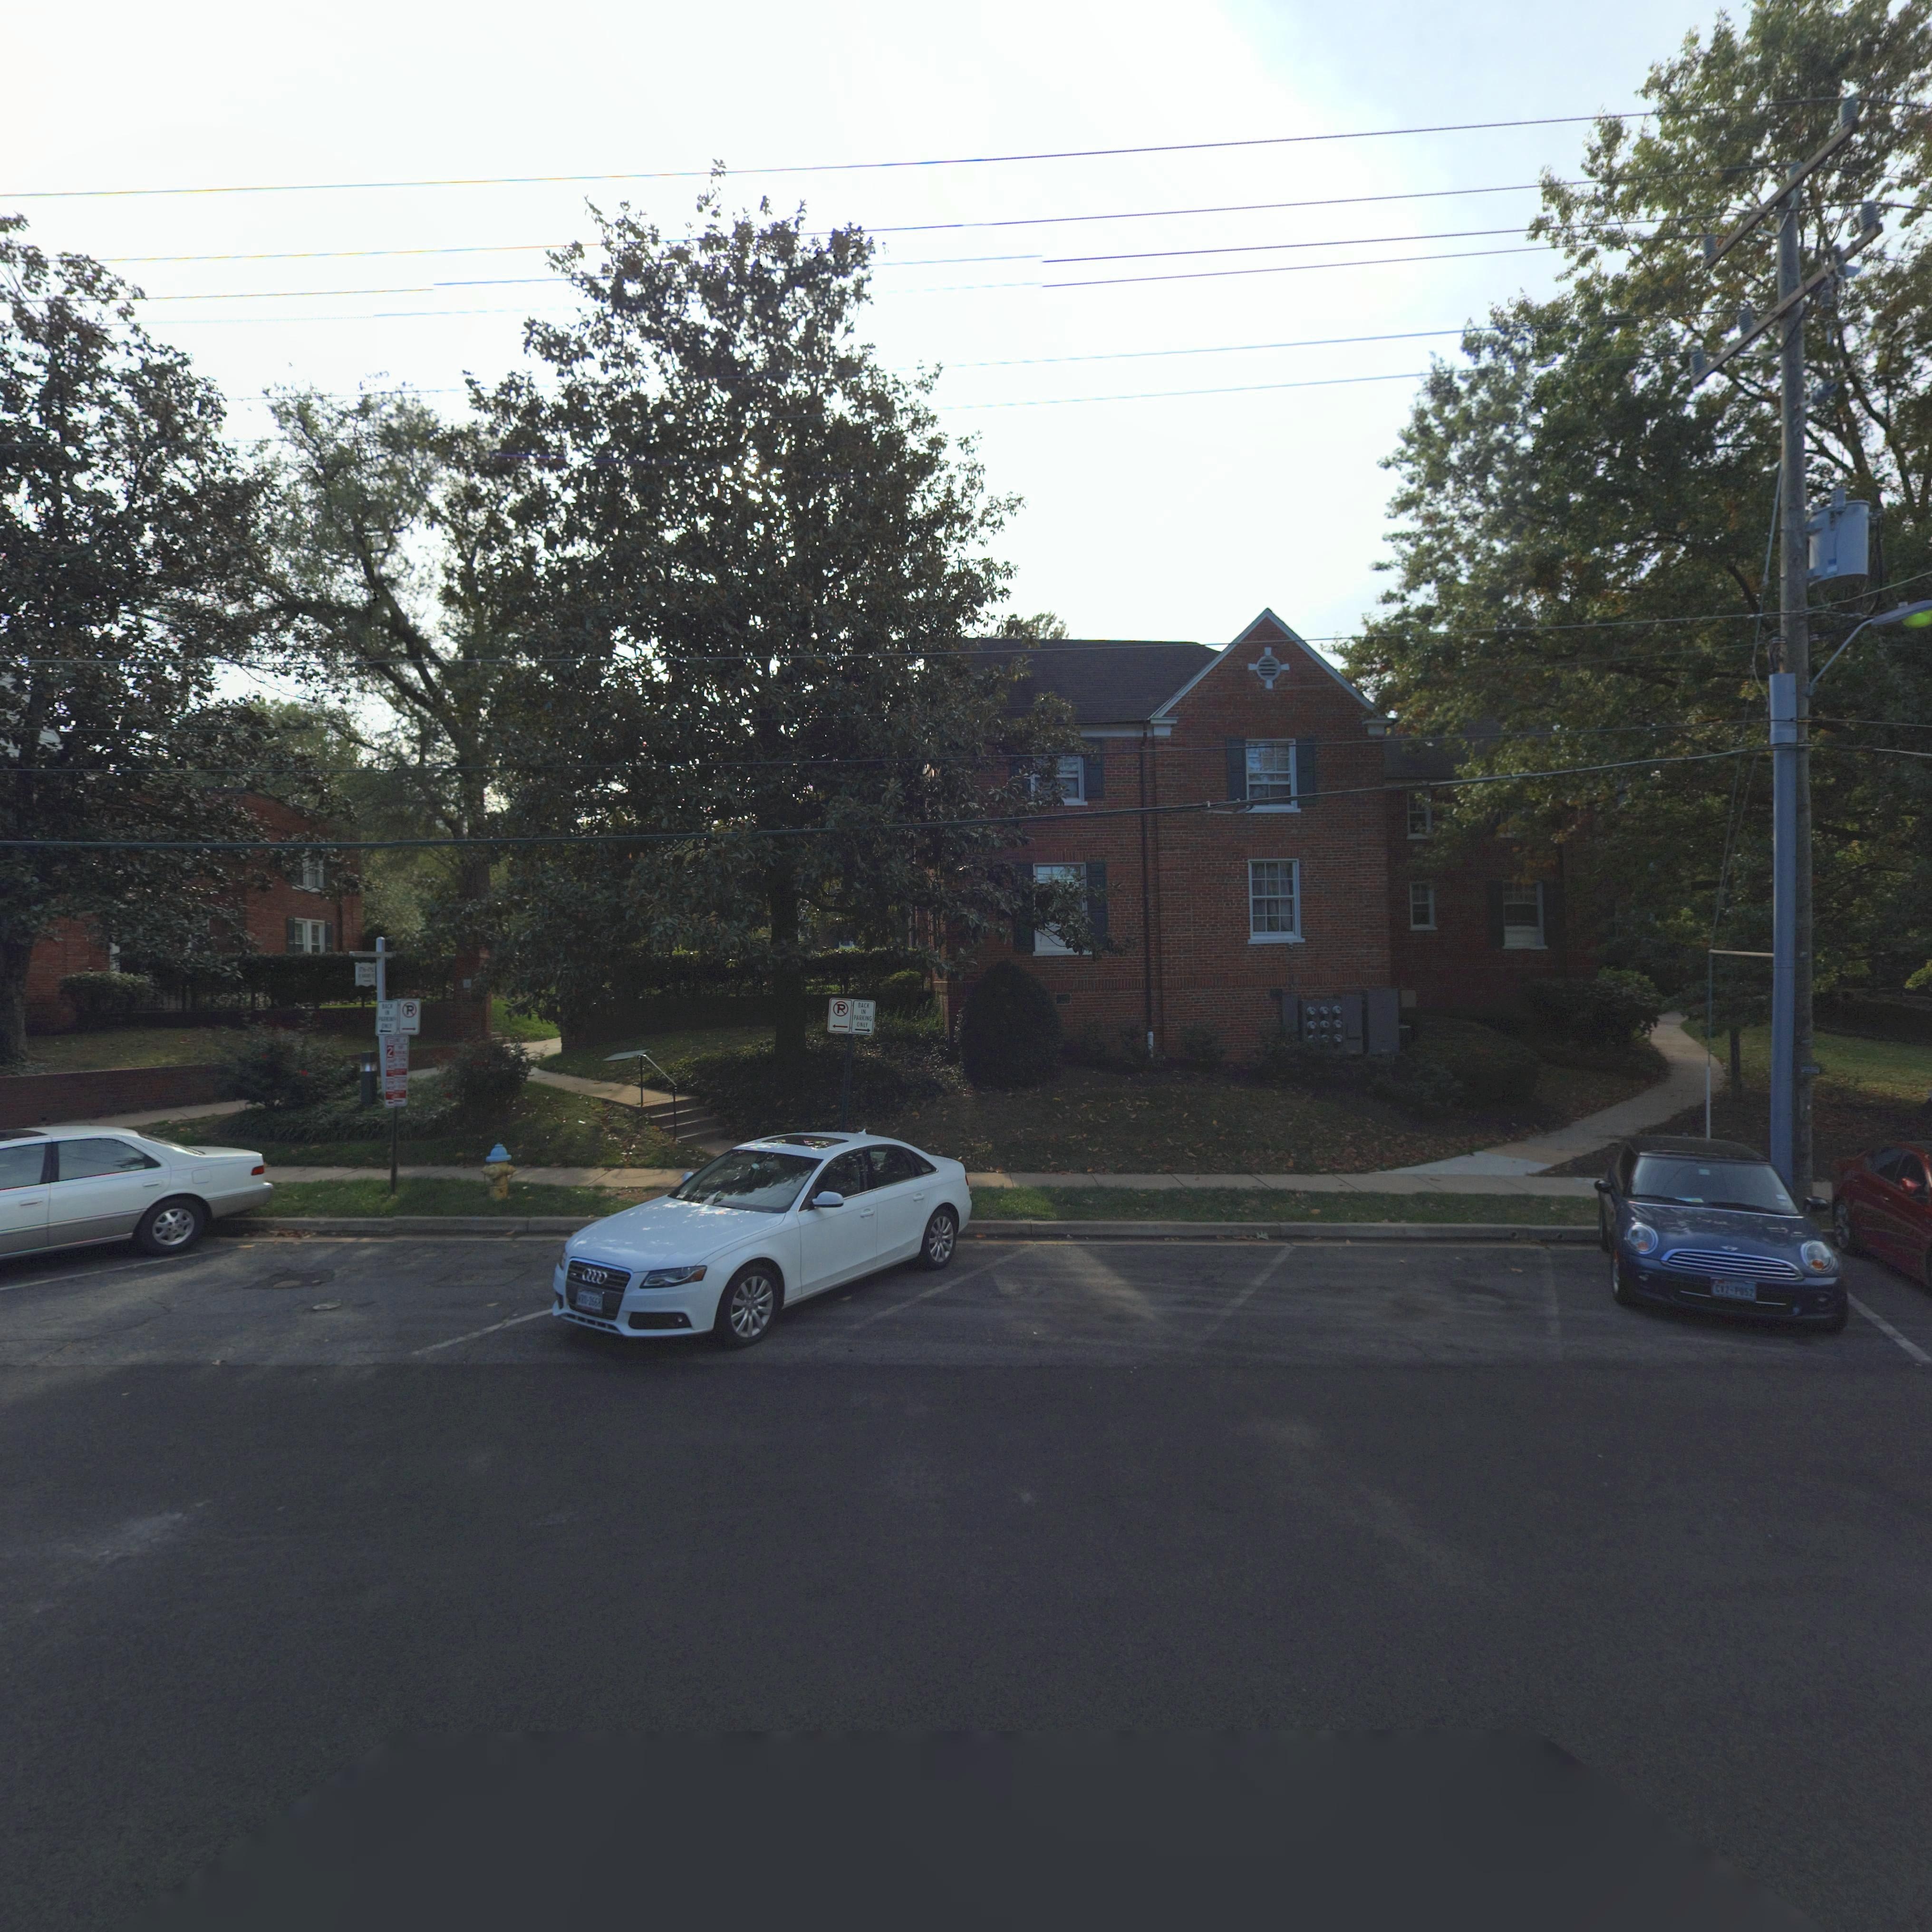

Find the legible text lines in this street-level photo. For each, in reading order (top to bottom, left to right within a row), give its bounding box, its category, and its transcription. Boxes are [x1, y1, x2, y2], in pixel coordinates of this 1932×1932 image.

[381, 1003, 393, 1009] None: BACK
[858, 1002, 870, 1009] None: BACK
[384, 1010, 390, 1015] None: IN
[860, 1008, 866, 1014] None: IN
[378, 1016, 393, 1022] None: PARKIN
[853, 1014, 872, 1022] None: PARKING
[381, 1023, 393, 1029] None: ONLY
[856, 1021, 869, 1028] None: ONLY
[386, 1046, 394, 1057] None: 2
[1715, 1284, 1755, 1298] None: CV2*P052
[588, 1295, 602, 1309] None: 2668